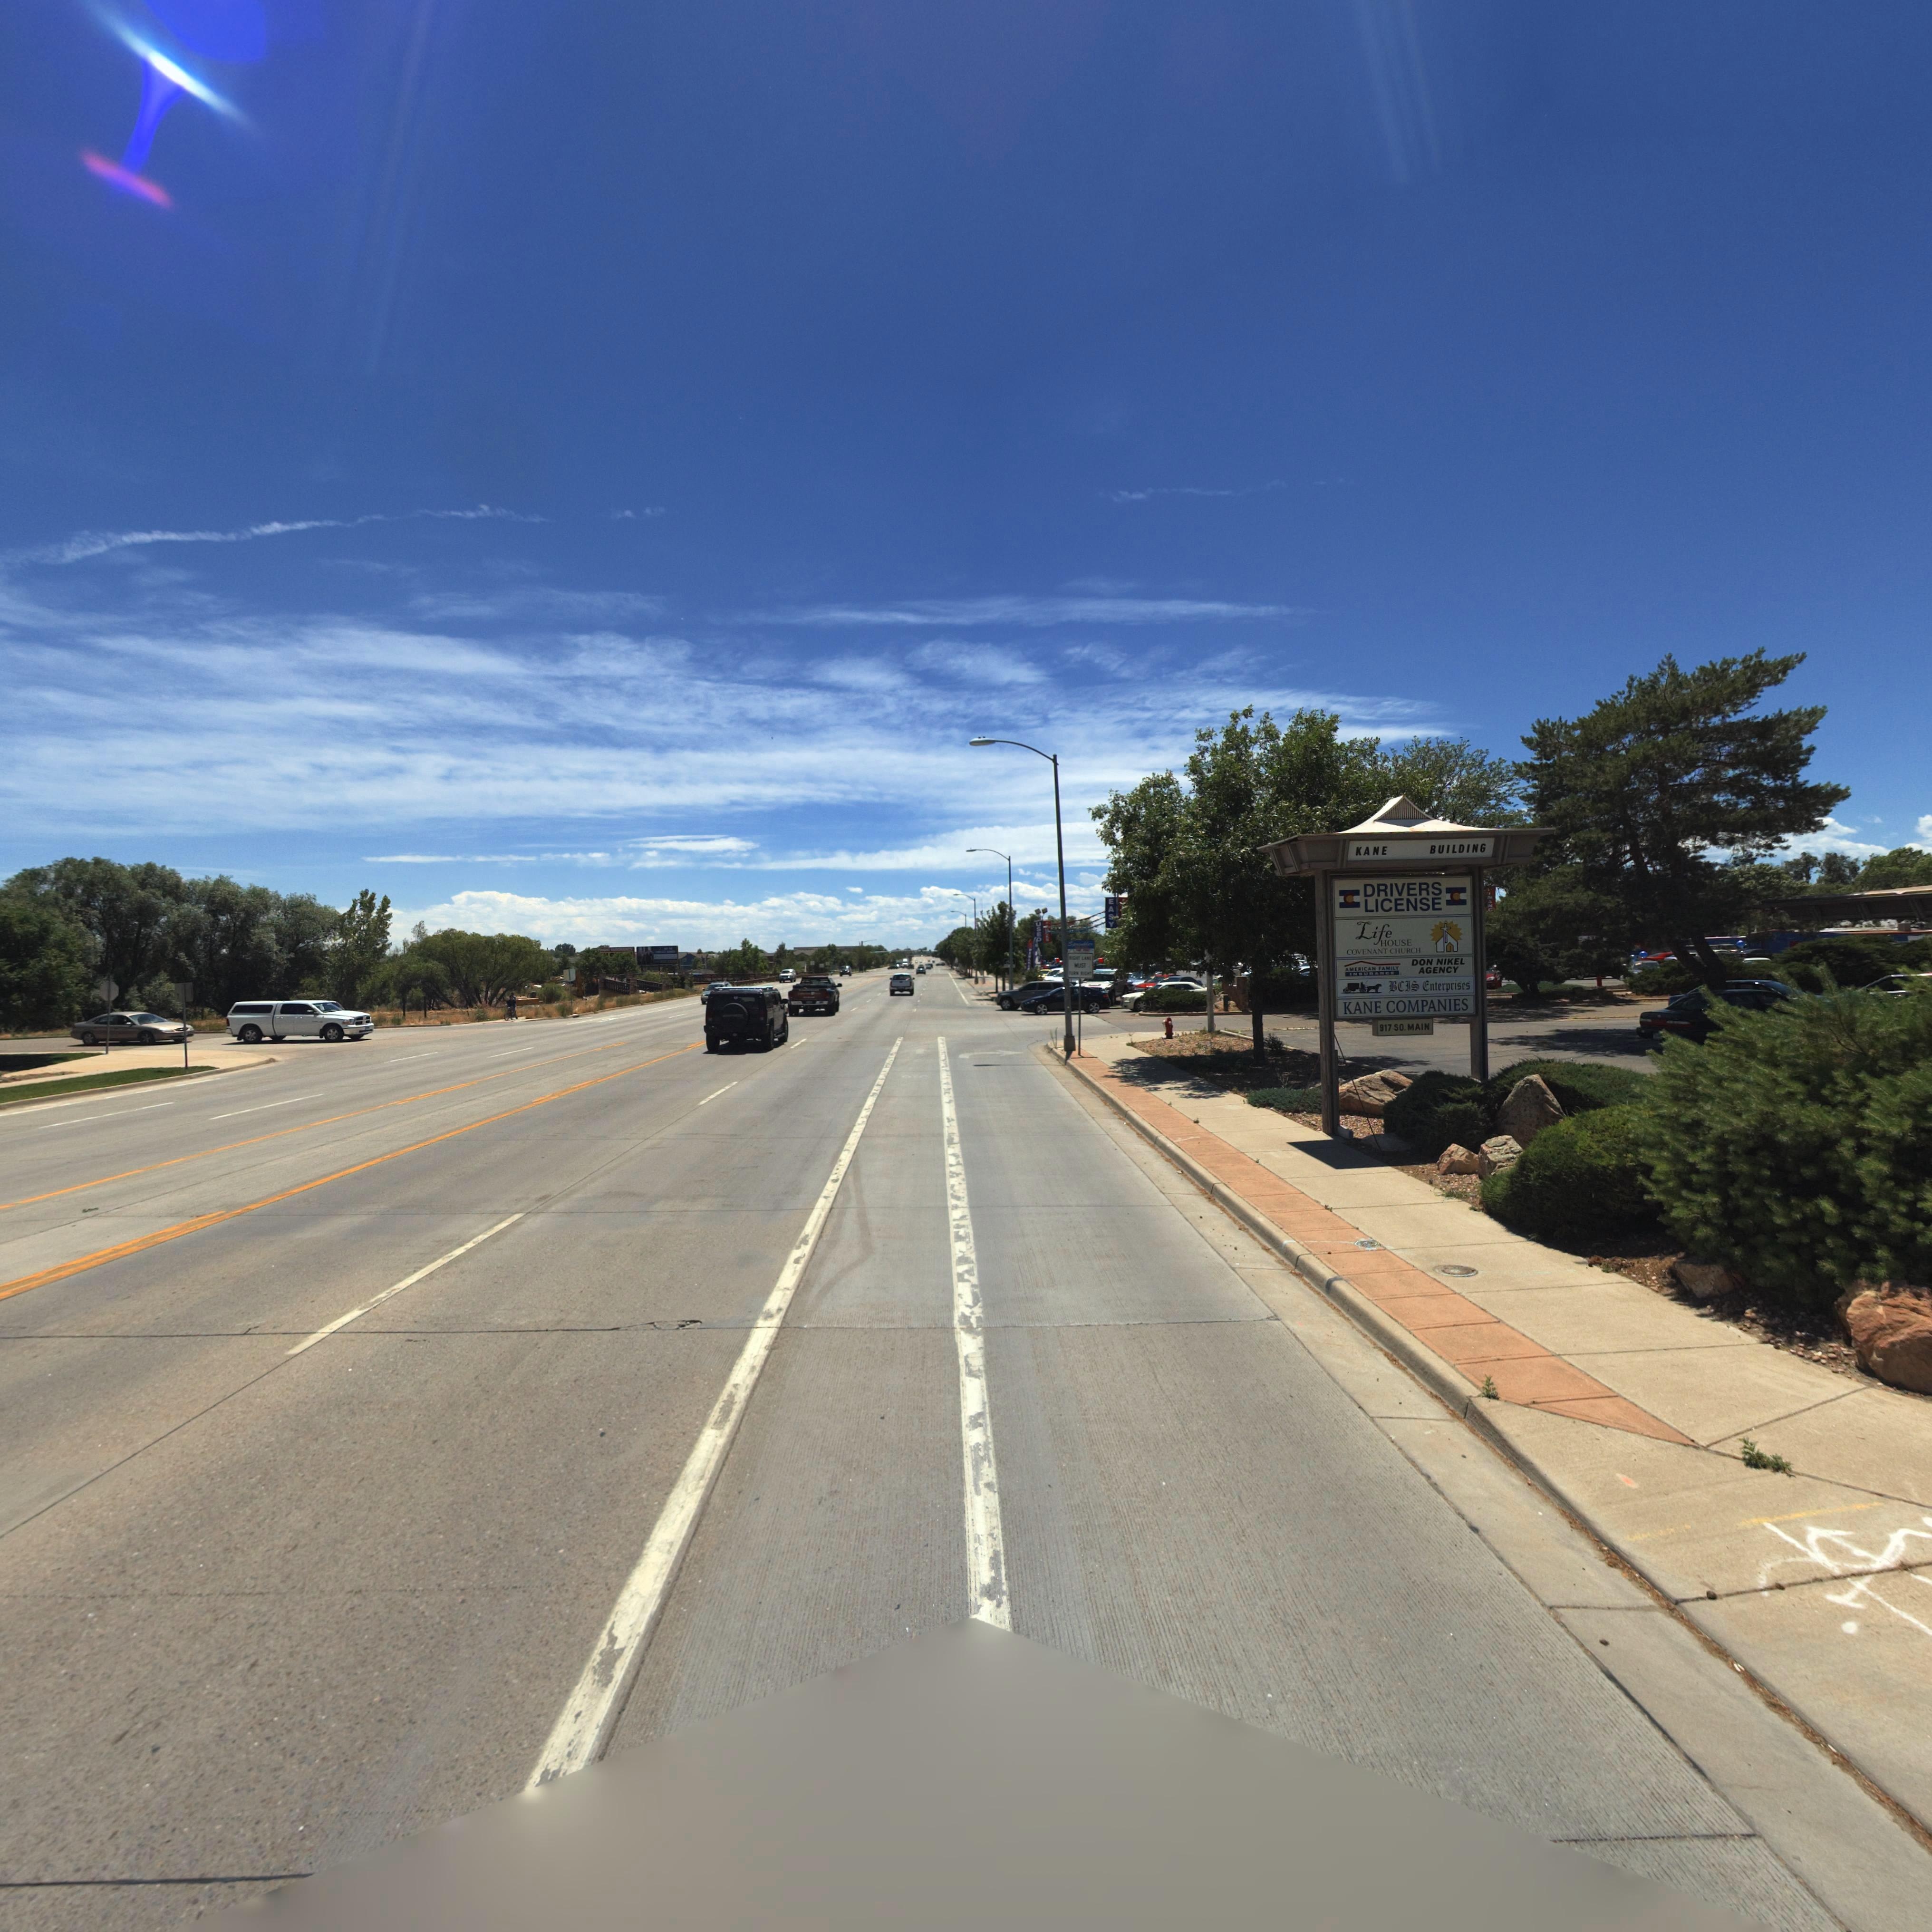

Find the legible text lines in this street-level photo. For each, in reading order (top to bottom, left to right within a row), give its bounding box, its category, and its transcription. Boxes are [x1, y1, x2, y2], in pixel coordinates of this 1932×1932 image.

[1362, 880, 1443, 897] BusinessName: DRIVERS
[1363, 896, 1442, 913] BusinessName: LICENSE
[1356, 920, 1393, 940] BusinessName: Life
[1067, 941, 1092, 947] BusinessName: Sp****kl**
[1380, 938, 1412, 947] BusinessName: HOUSE
[1346, 947, 1421, 955] BusinessName: COVENANT CHURCH
[1344, 966, 1400, 971] BusinessName: AMERICAN FAMILY
[1349, 971, 1395, 976] BusinessName: INSURANCE
[1389, 979, 1470, 993] BusinessName: BCIS Enterprises
[1343, 997, 1468, 1015] BusinessName: KANE COMPANIES
[1379, 1023, 1392, 1032] StreetNumber: 917
[1393, 1022, 1430, 1031] StreetName: SO. MAIN